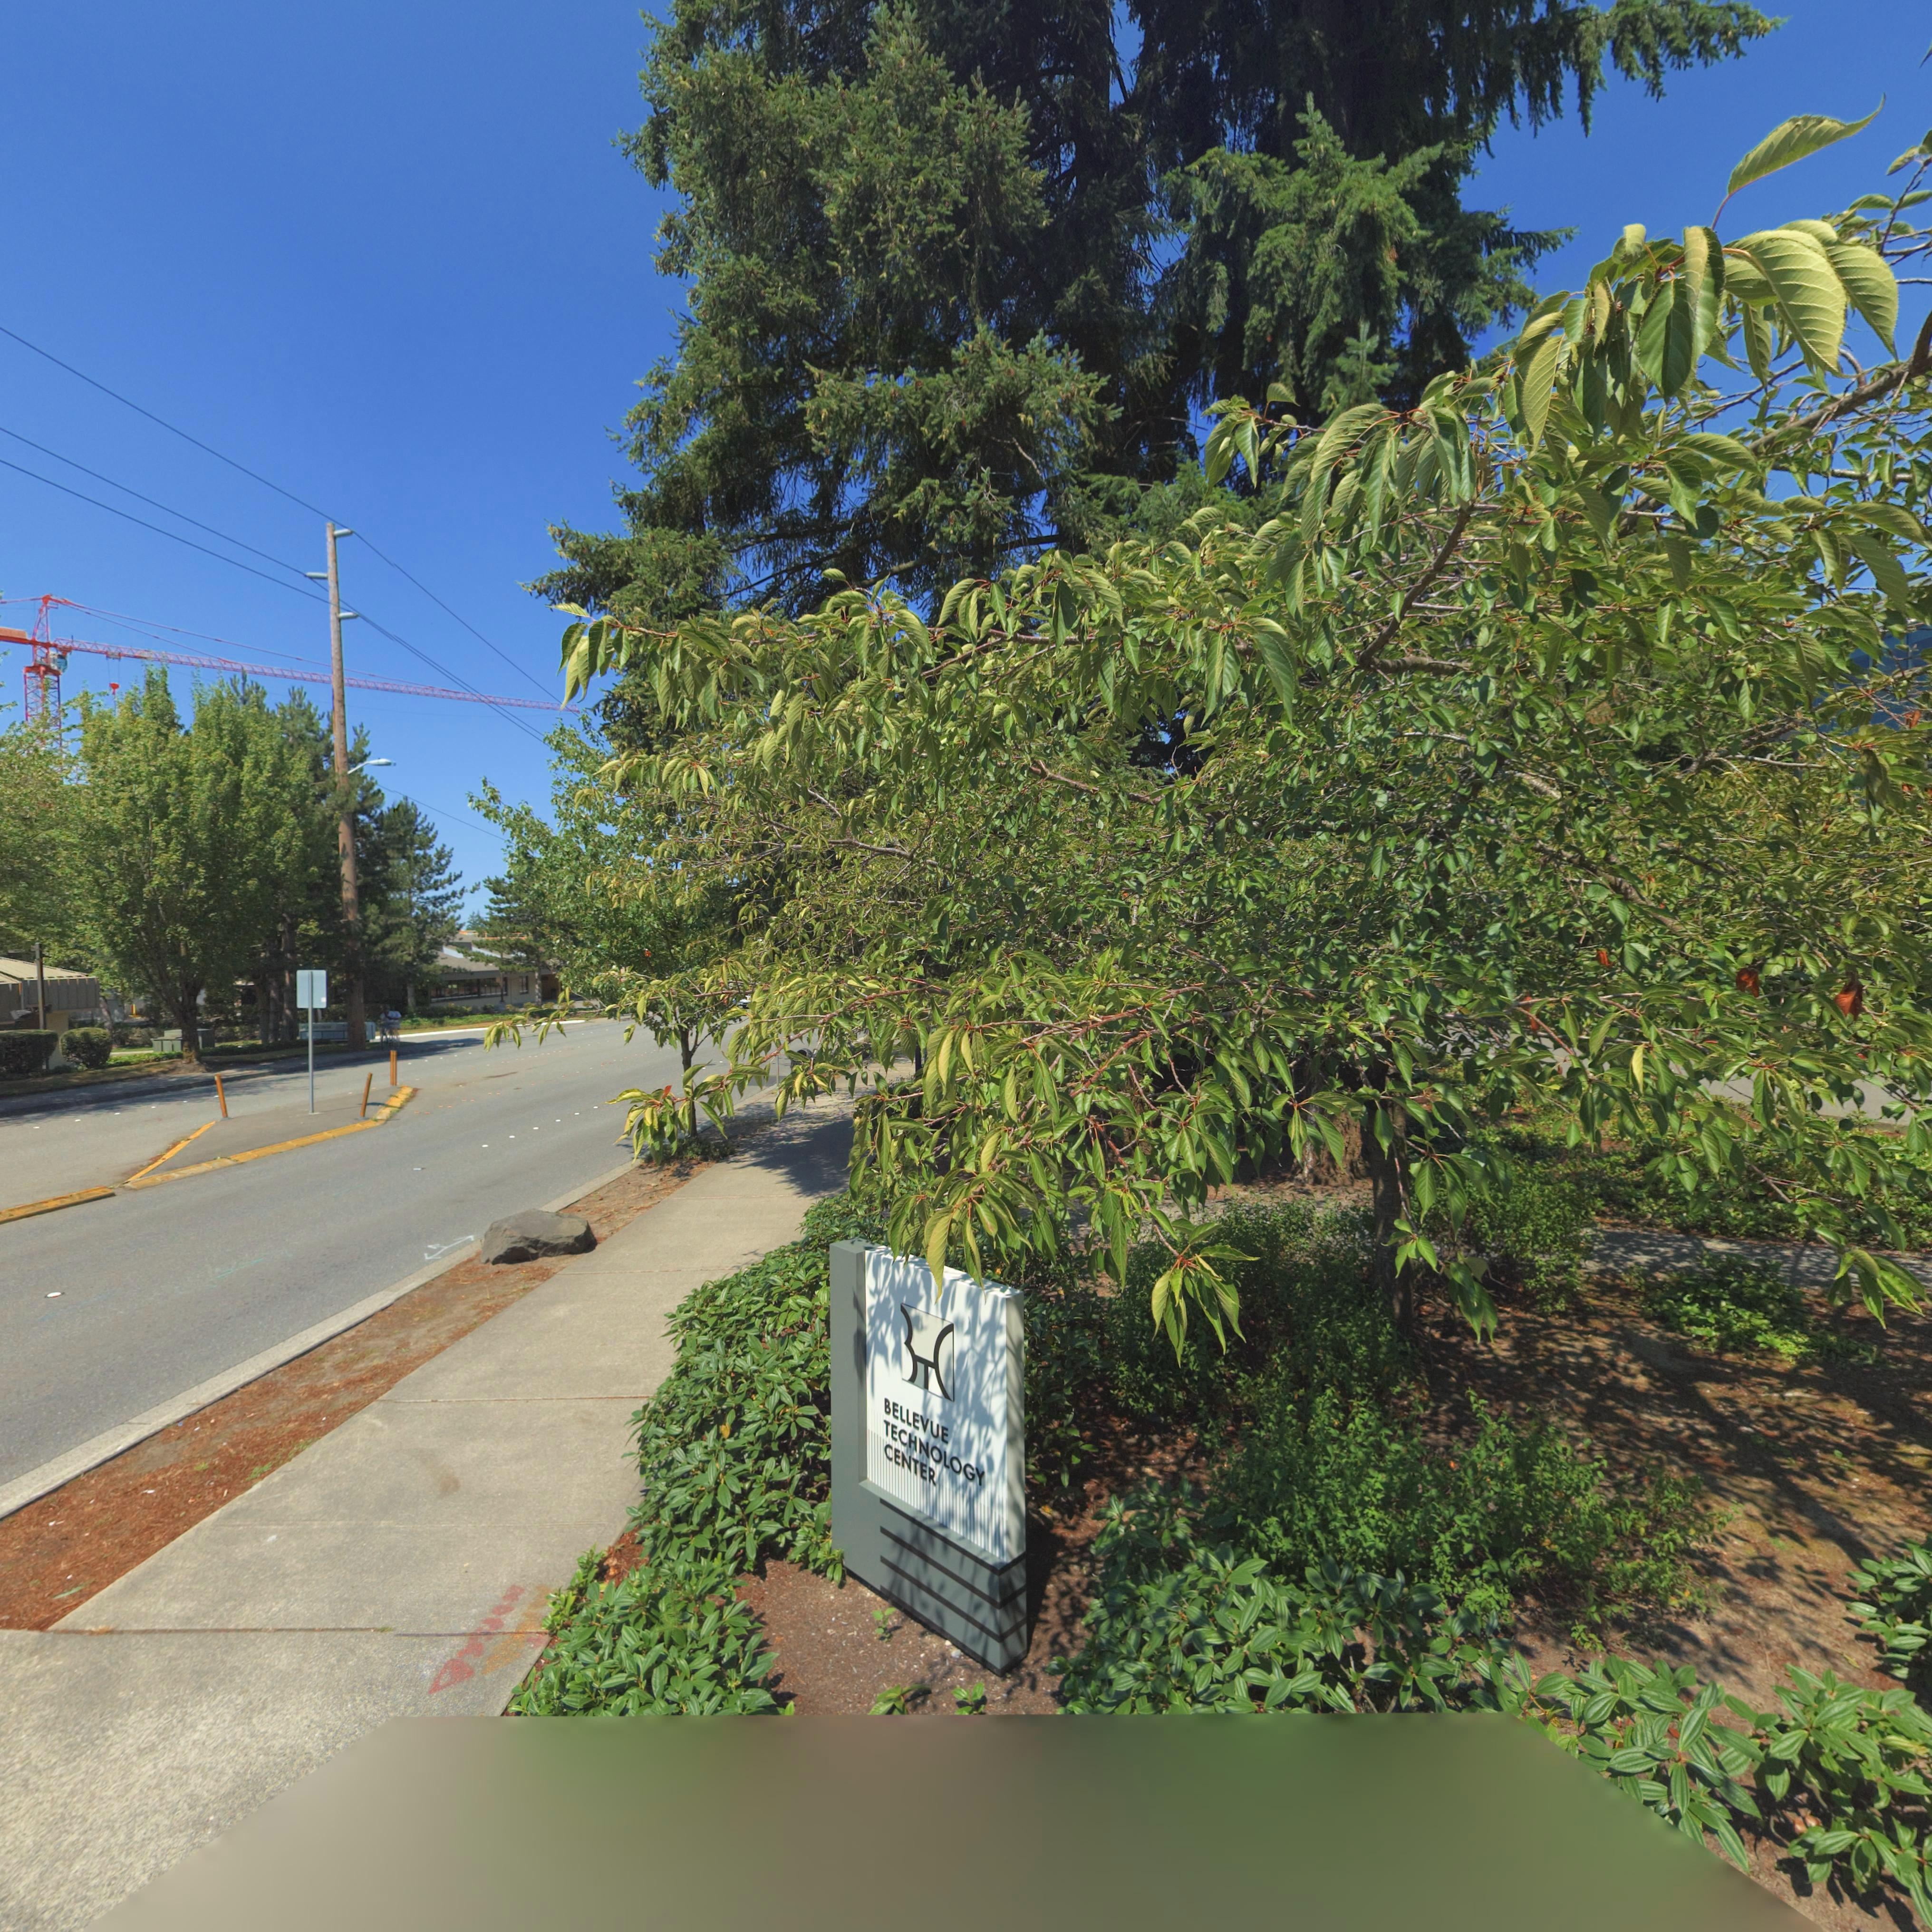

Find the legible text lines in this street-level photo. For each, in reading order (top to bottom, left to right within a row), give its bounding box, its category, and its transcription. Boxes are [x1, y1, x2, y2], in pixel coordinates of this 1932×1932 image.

[882, 1396, 950, 1447] BusinessName: BELLEVUE
[882, 1441, 939, 1489] BusinessName: CENTER
[882, 1418, 986, 1488] BusinessName: TECHNOLOGY